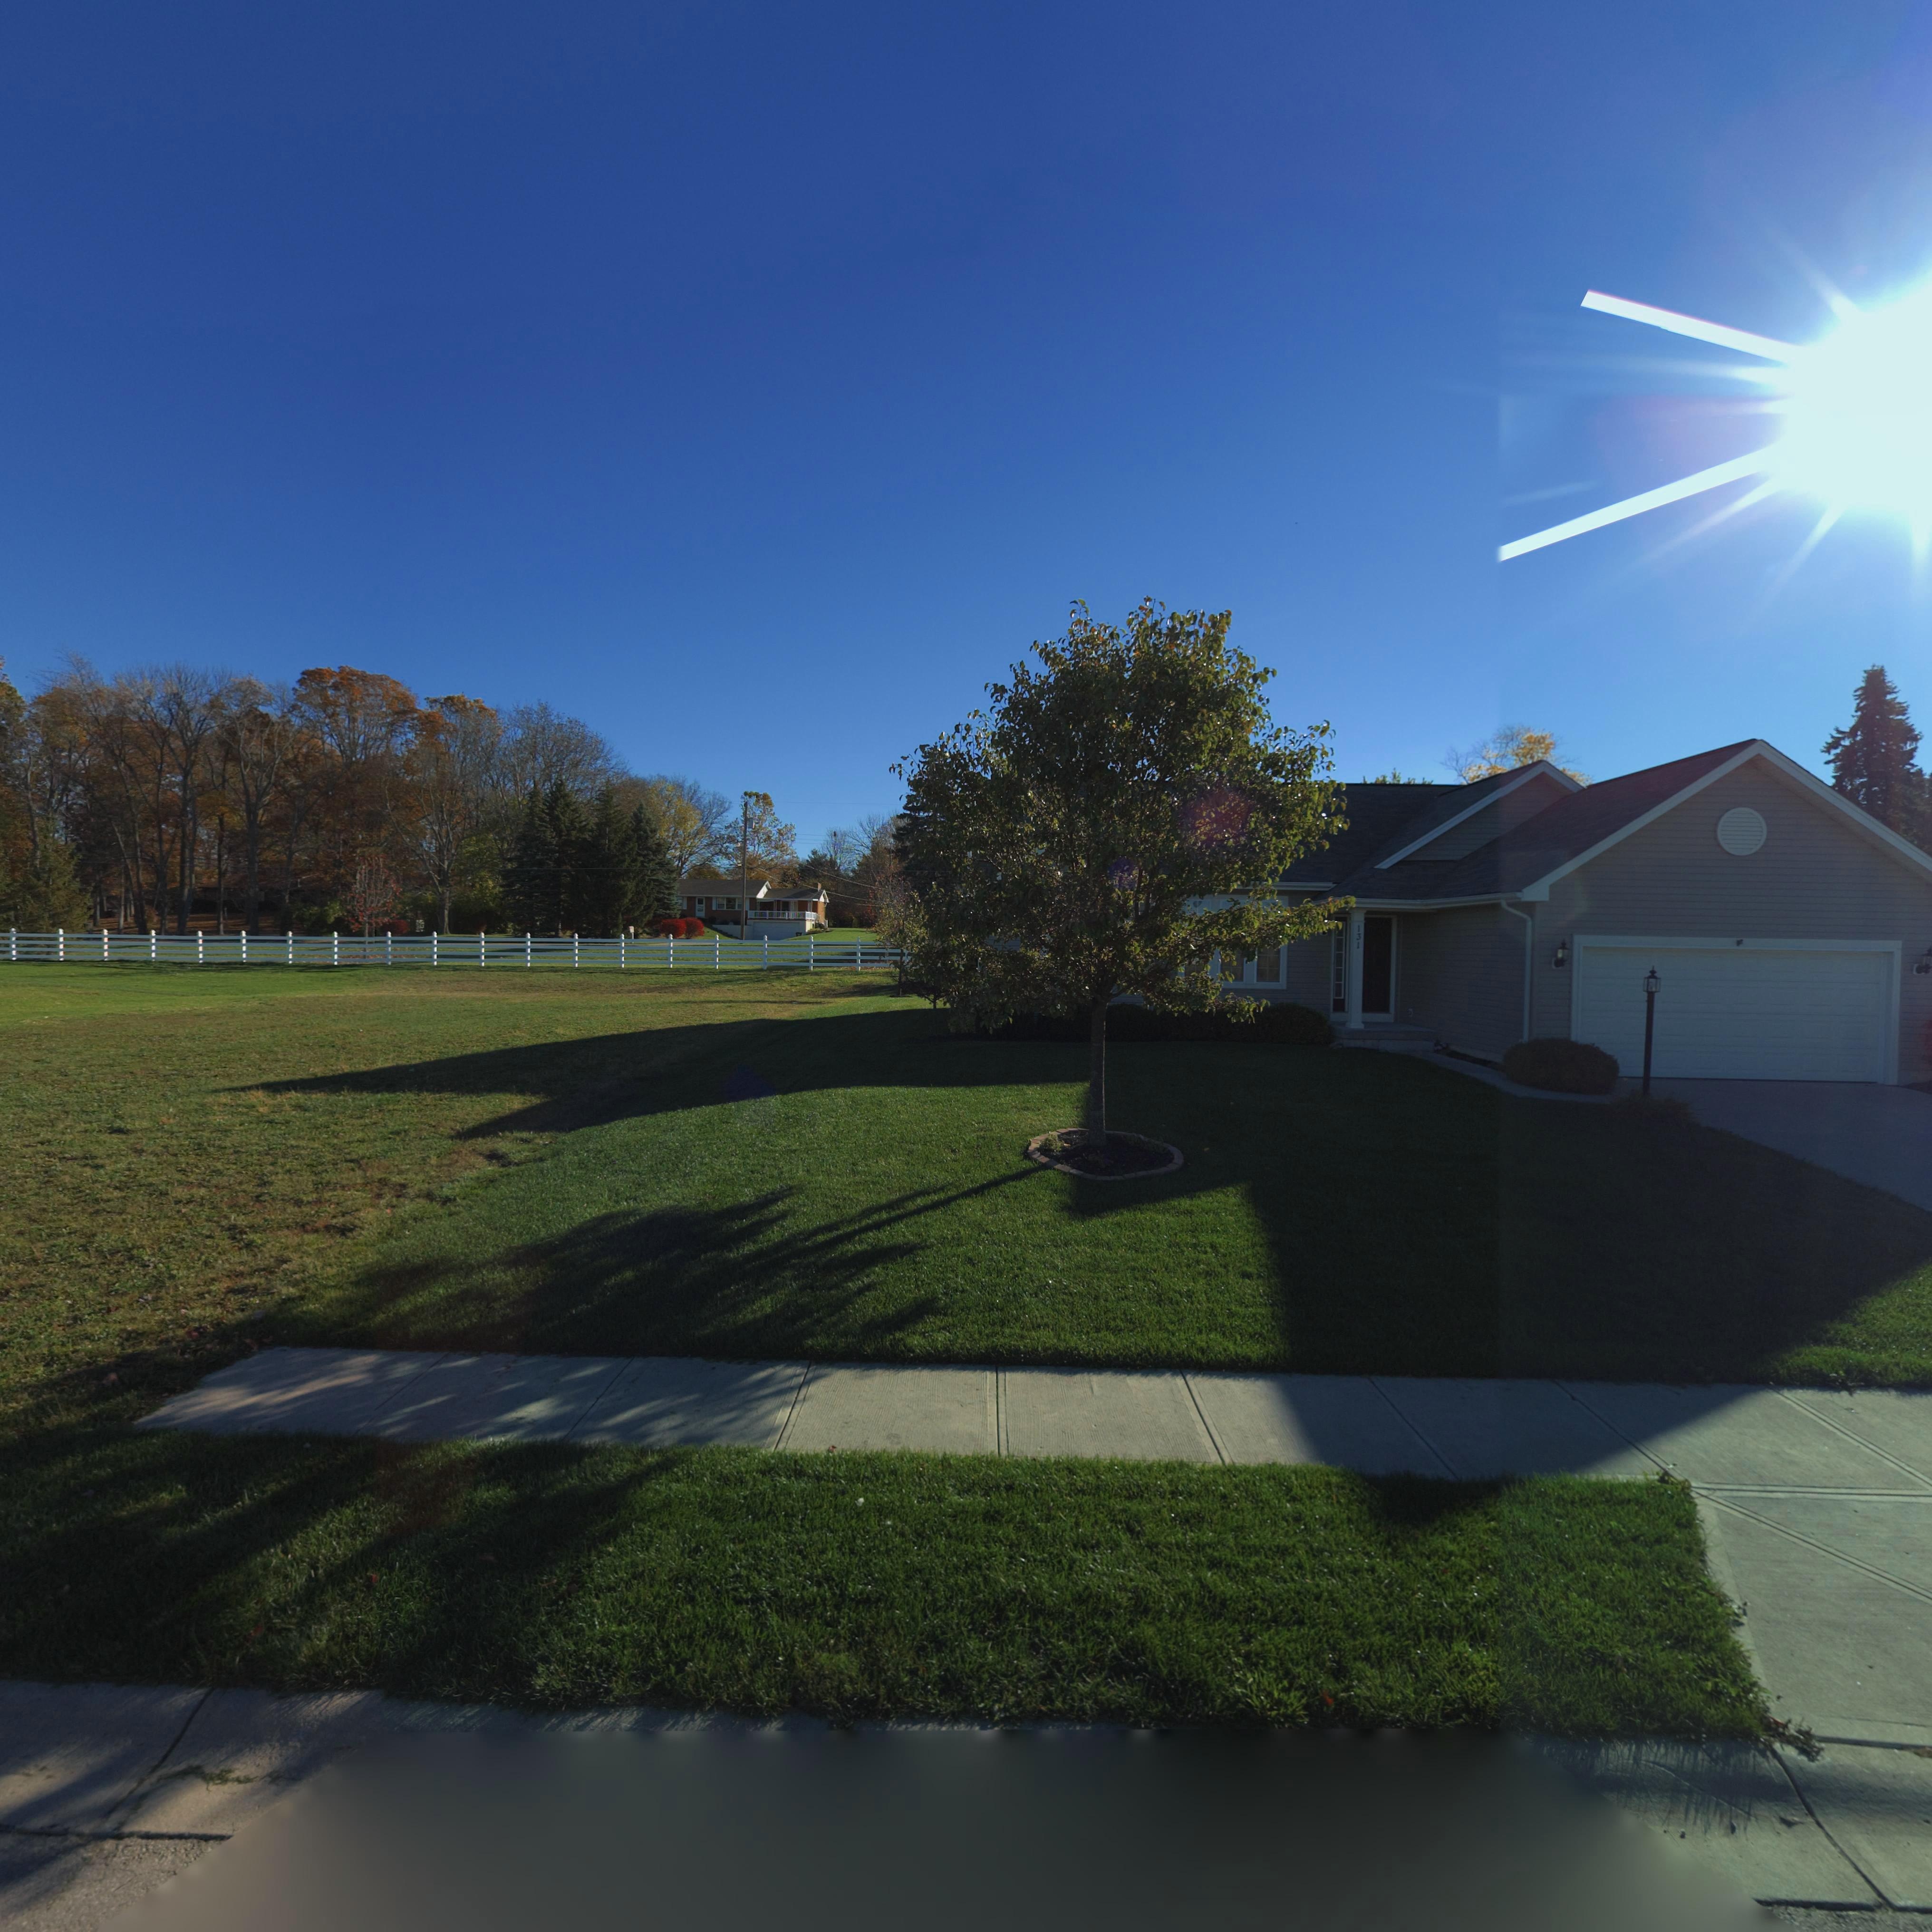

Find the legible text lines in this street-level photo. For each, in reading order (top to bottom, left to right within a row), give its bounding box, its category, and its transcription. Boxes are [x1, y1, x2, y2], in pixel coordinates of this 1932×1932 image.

[1355, 923, 1362, 950] StreetNumber: 131